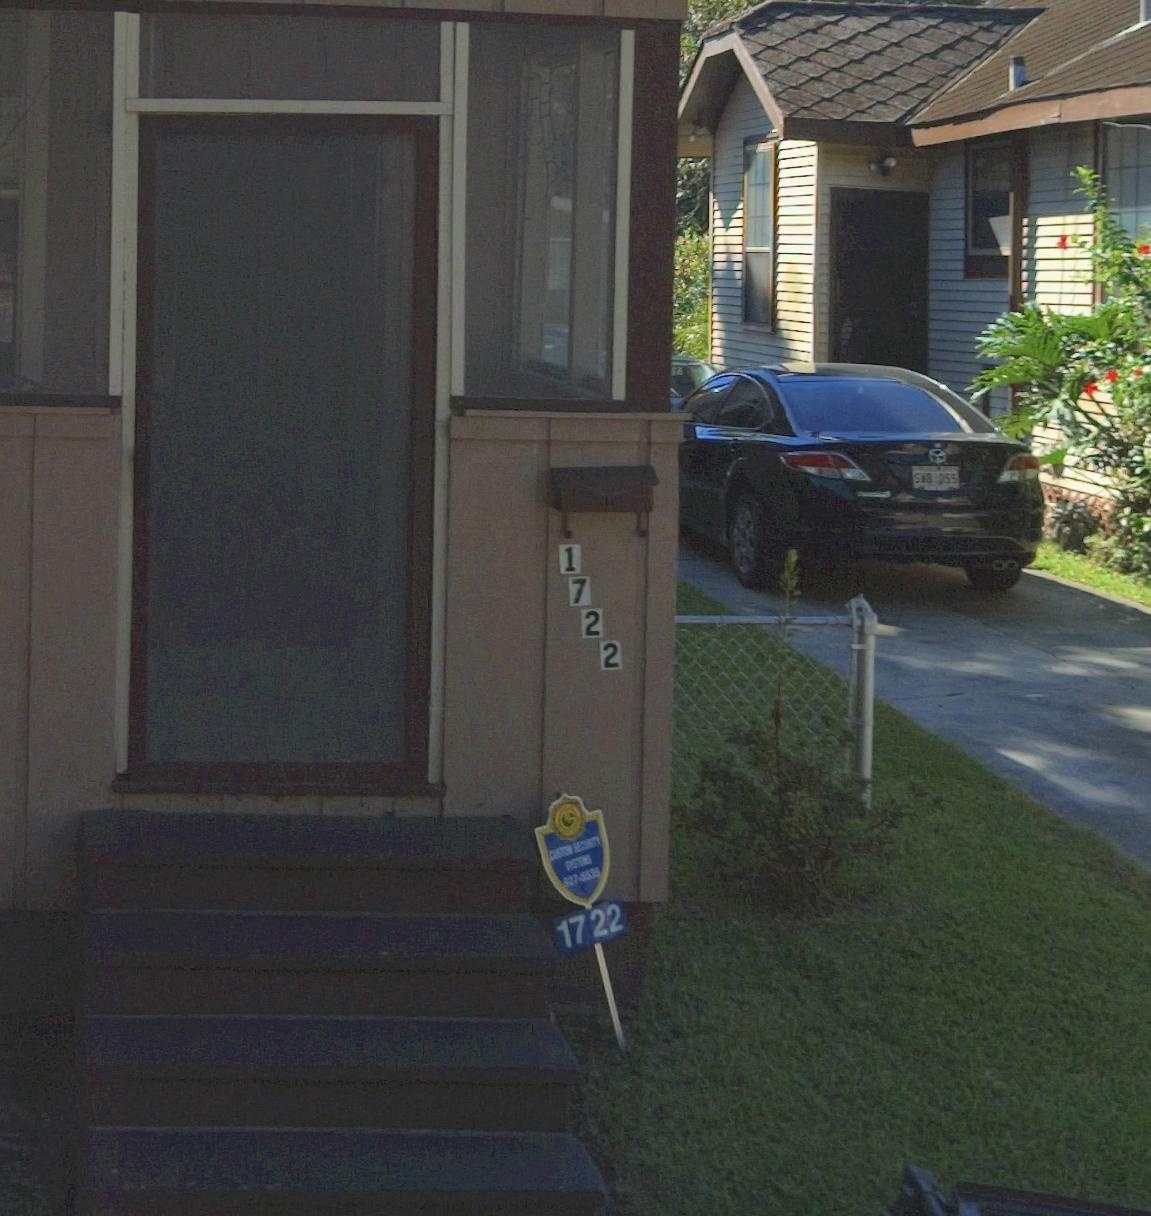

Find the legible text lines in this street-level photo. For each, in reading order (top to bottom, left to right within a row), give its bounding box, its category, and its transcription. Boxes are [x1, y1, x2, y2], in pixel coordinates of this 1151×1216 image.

[912, 470, 961, 488] None: S*B *5*
[556, 543, 626, 673] StreetNumber: 1722
[552, 900, 627, 952] StreetNumber: 1722